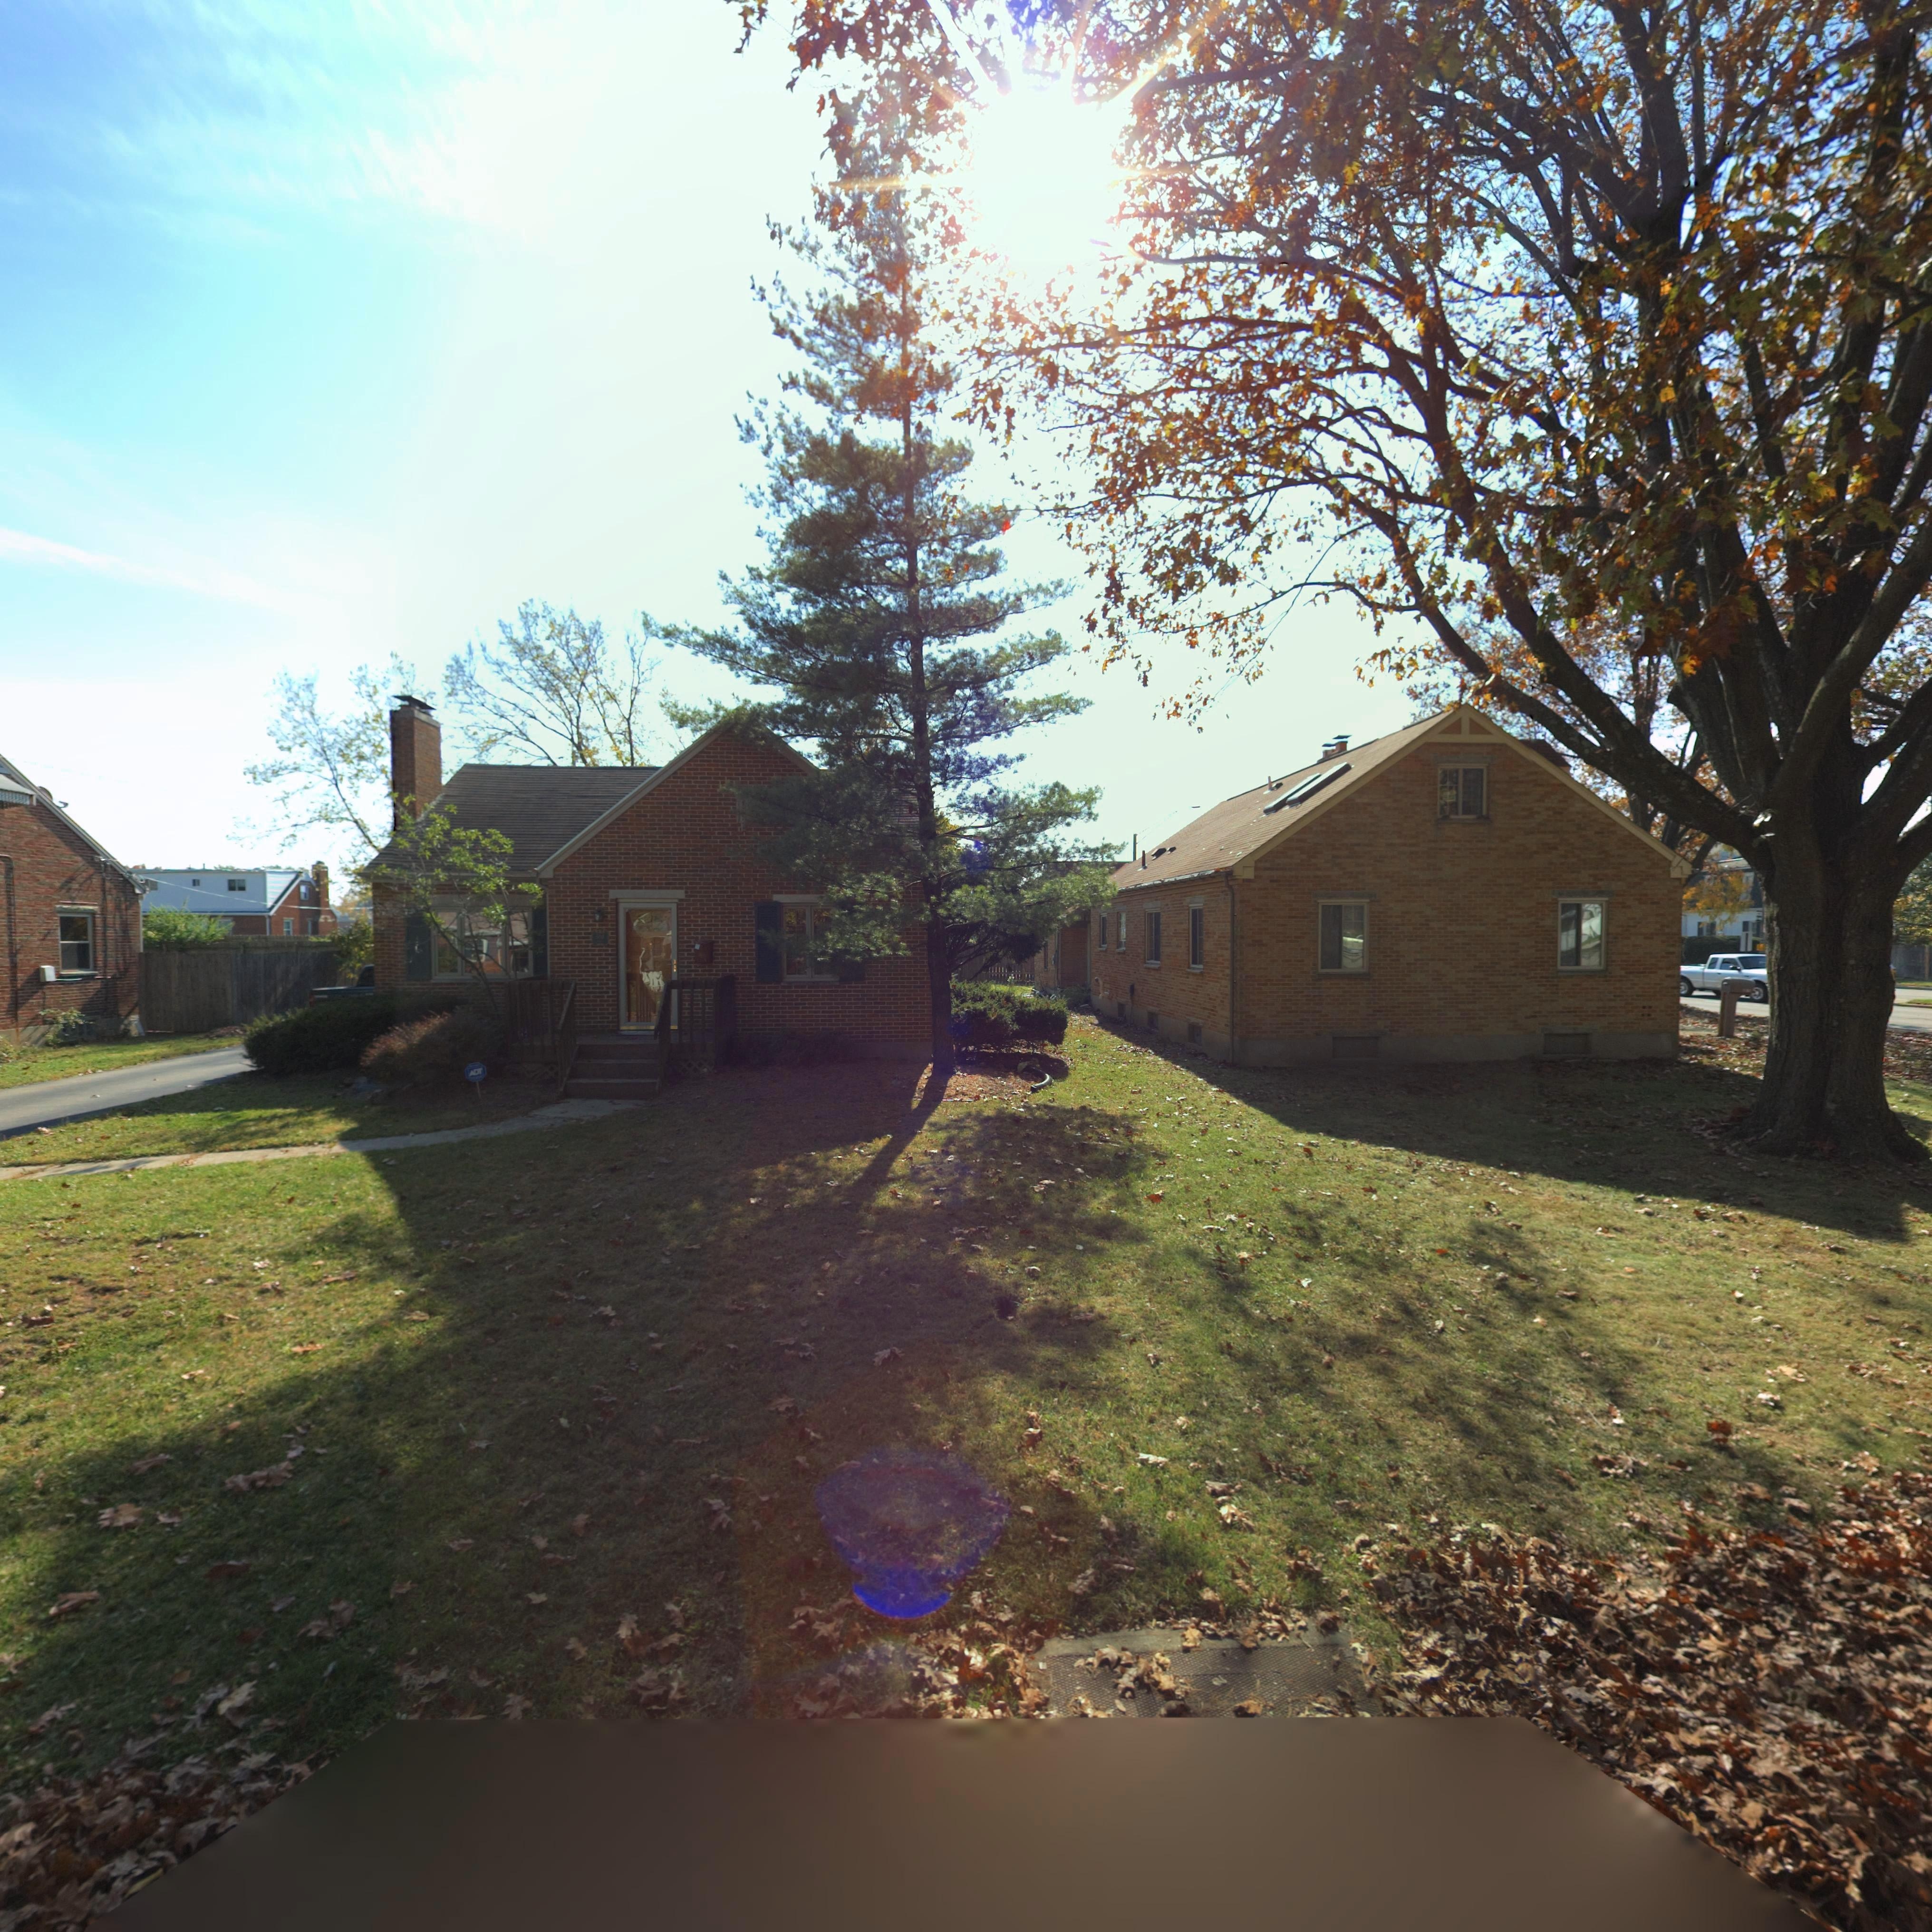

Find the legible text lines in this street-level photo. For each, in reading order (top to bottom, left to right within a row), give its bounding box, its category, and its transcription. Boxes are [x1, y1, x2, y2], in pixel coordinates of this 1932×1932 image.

[594, 933, 605, 940] StreetNumber: 50*
[468, 1067, 483, 1077] None: ADT